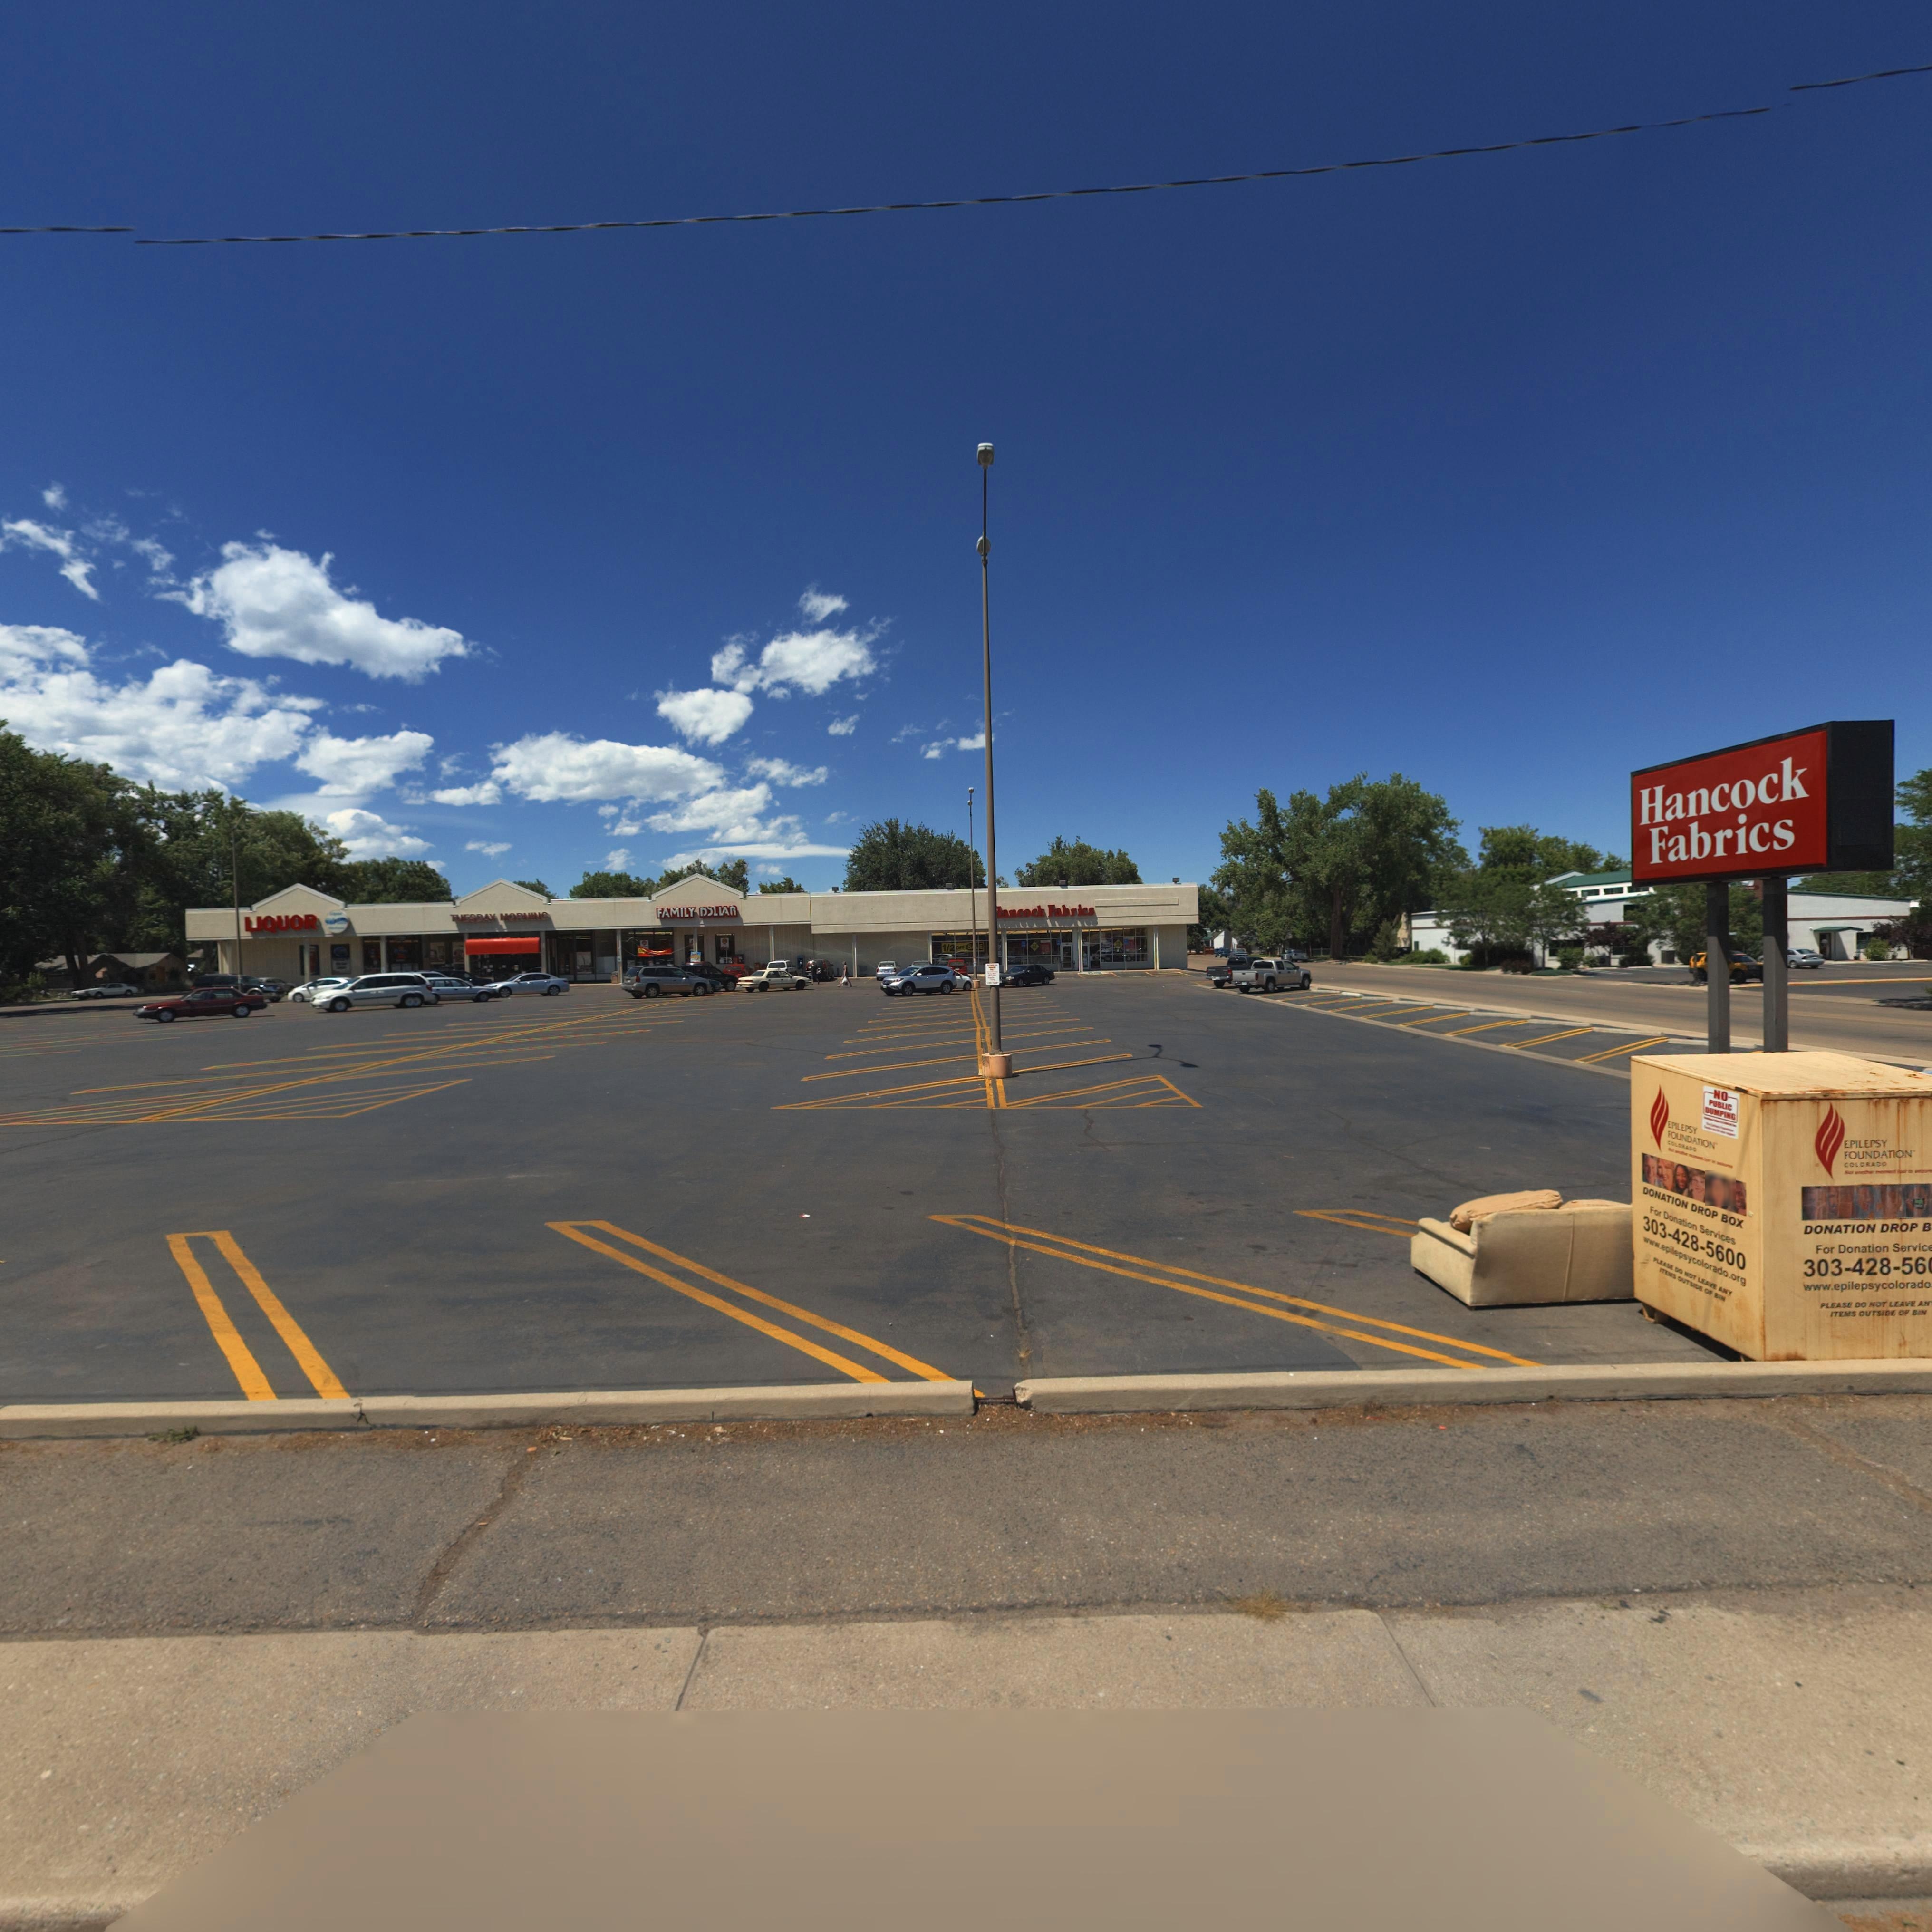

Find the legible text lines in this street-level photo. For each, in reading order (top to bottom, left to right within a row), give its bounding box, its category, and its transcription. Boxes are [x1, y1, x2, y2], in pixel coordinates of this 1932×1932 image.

[1638, 756, 1810, 826] BusinessName: Hancock
[1648, 813, 1795, 865] BusinessName: Fabrics
[449, 911, 548, 922] BusinessName: TUESDAY MORNING
[656, 905, 738, 919] None: FAMILY D*LLAR
[1001, 904, 1095, 918] BusinessName: ancock Fabrics